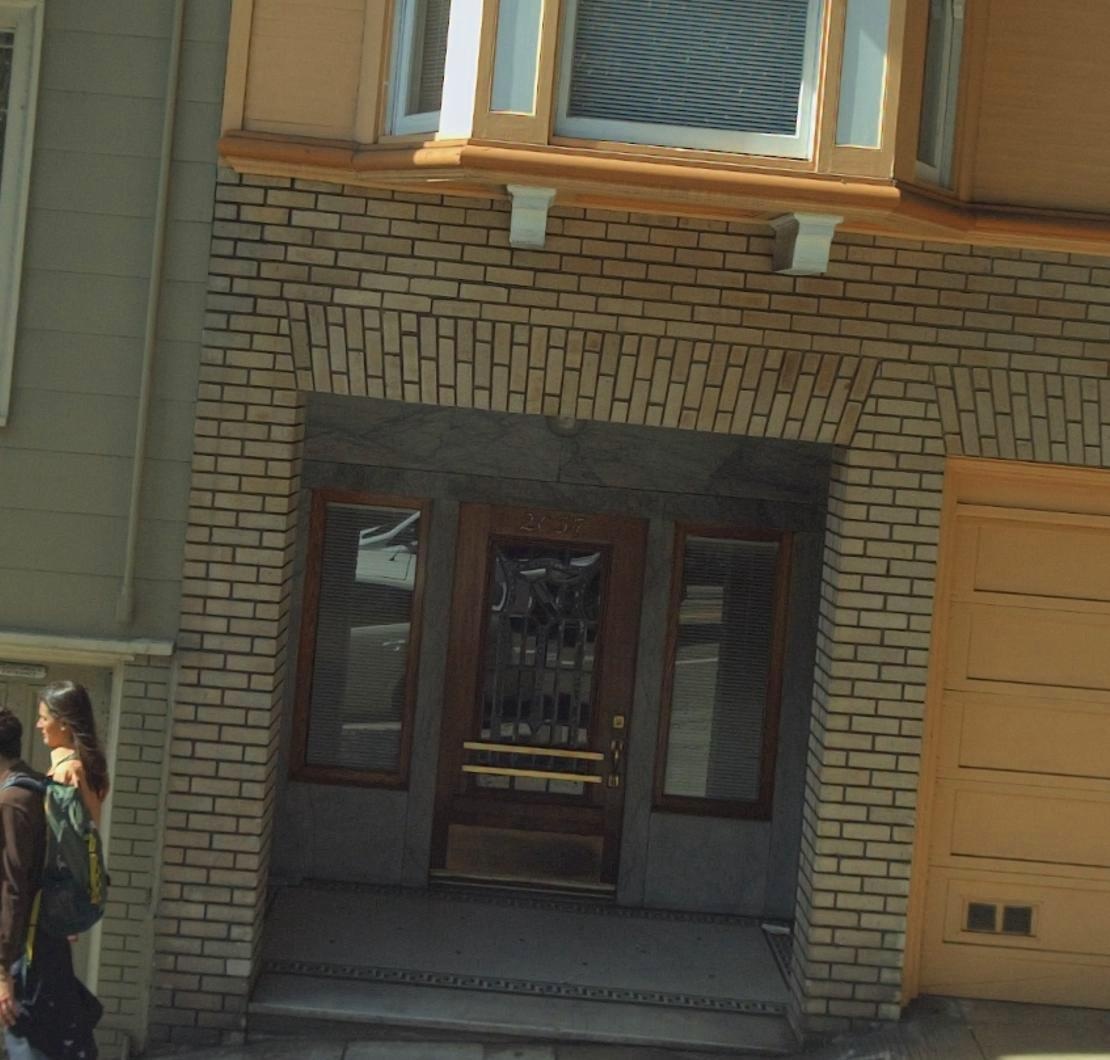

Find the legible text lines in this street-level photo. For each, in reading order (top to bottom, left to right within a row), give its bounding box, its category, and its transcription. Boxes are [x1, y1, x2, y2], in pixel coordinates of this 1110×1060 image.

[515, 511, 589, 539] StreetNumber: 2037